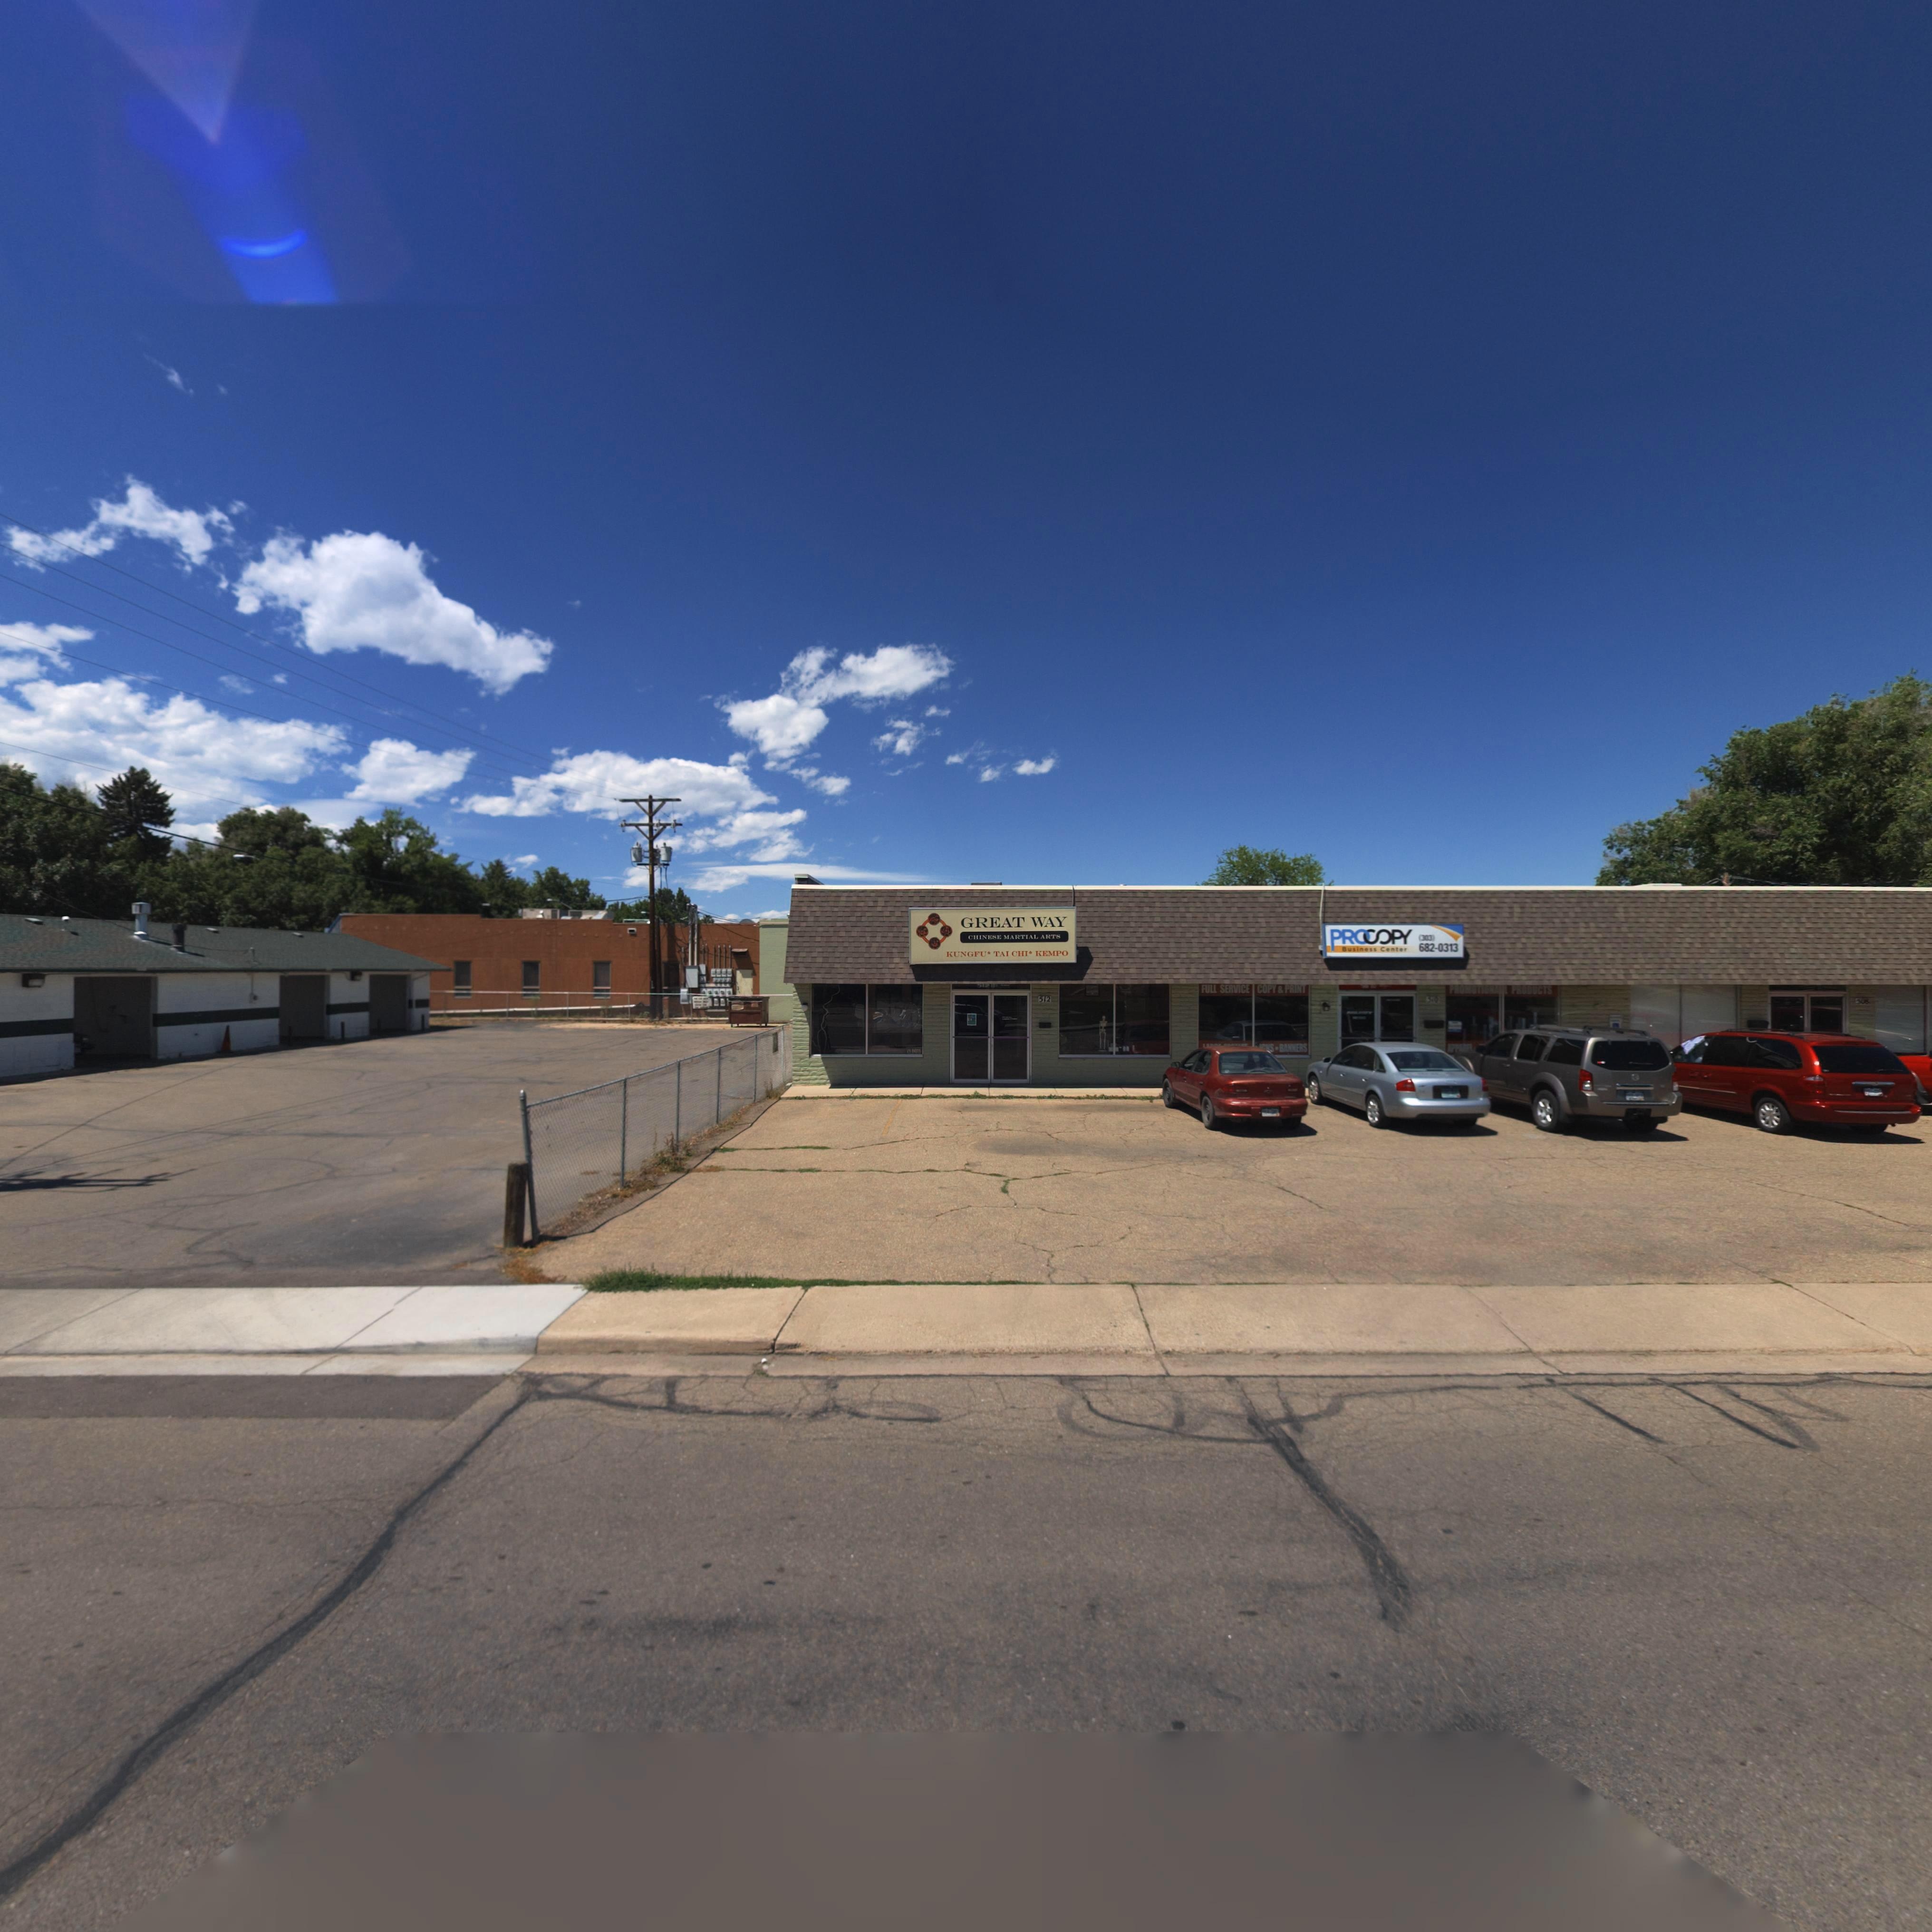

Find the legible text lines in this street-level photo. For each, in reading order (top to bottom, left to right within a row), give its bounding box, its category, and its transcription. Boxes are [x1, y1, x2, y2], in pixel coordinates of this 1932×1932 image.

[960, 916, 1068, 928] BusinessName: GREAT WAY
[1330, 928, 1413, 952] BusinessName: PROCOPY
[977, 983, 990, 988] StreetNumber: *12
[1039, 996, 1051, 1002] StreetNumber: 512
[1427, 996, 1439, 1003] StreetNumber: 510
[1856, 998, 1869, 1005] StreetNumber: *08